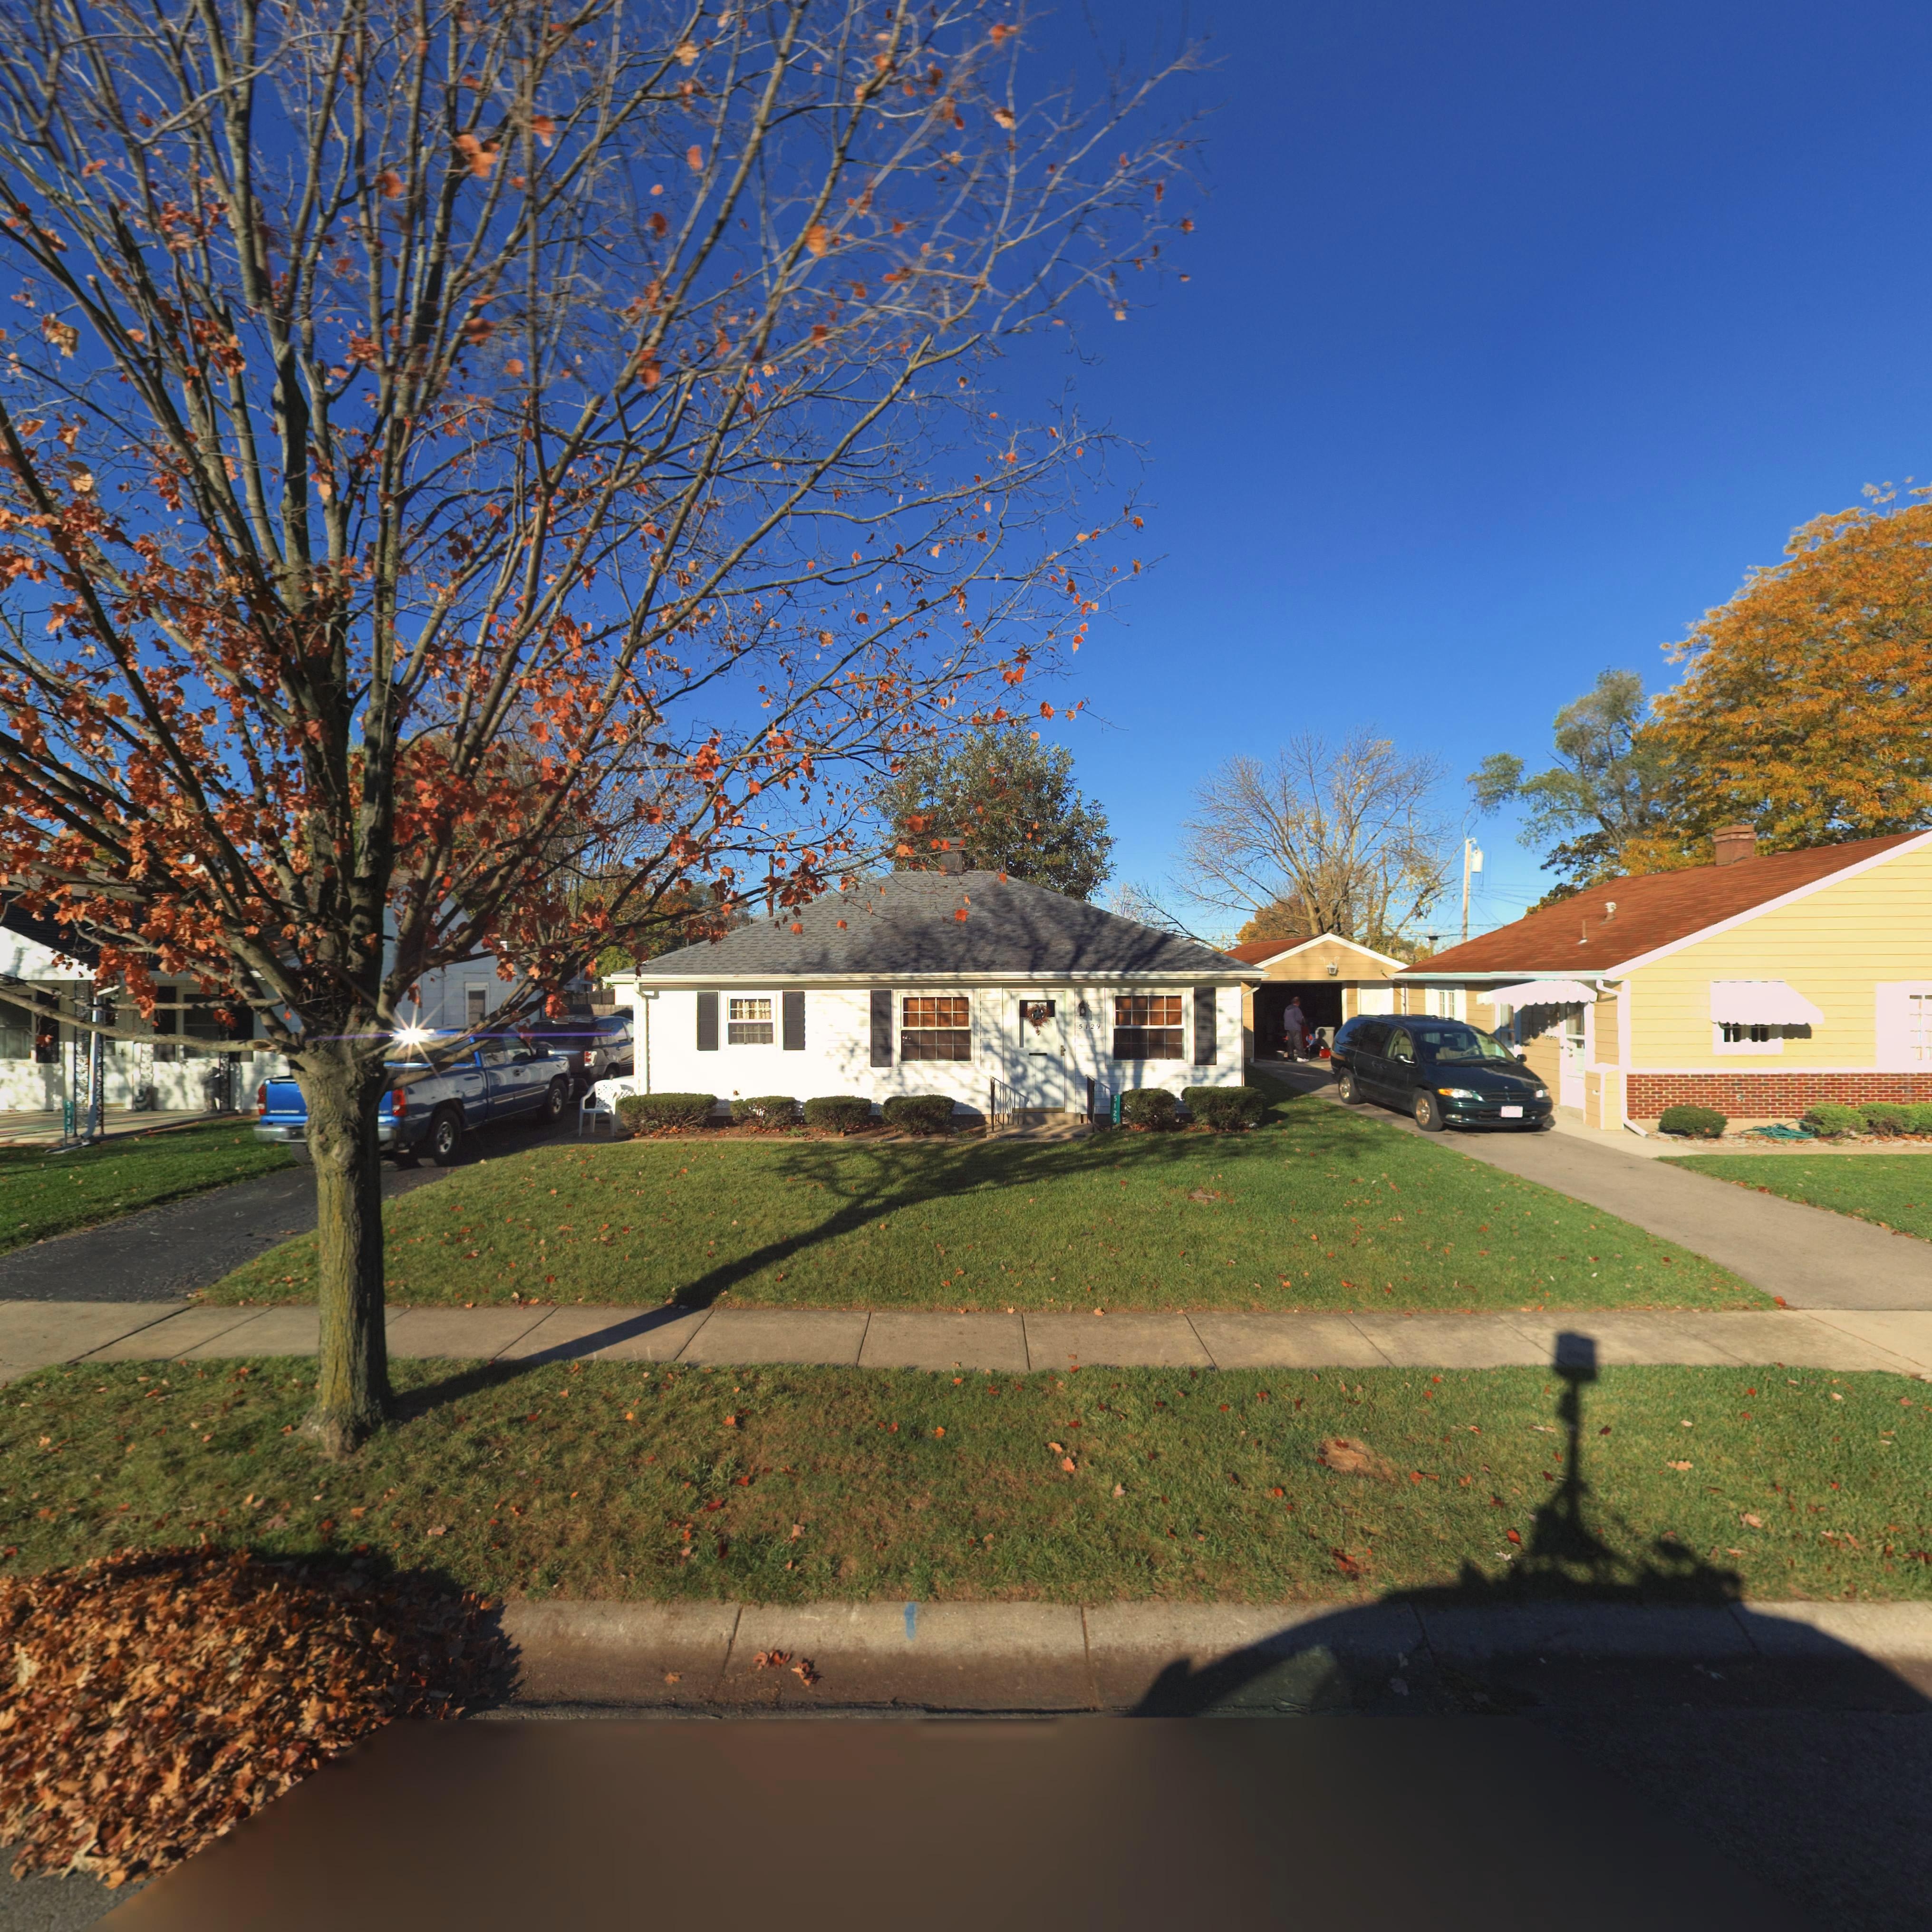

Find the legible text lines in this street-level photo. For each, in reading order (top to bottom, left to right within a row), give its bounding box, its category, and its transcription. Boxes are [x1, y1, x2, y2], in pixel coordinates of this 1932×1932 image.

[141, 1023, 147, 1030] StreetNumber: 3
[1078, 1023, 1101, 1030] StreetNumber: 5129
[1112, 1095, 1118, 1123] StreetNumber: 5129